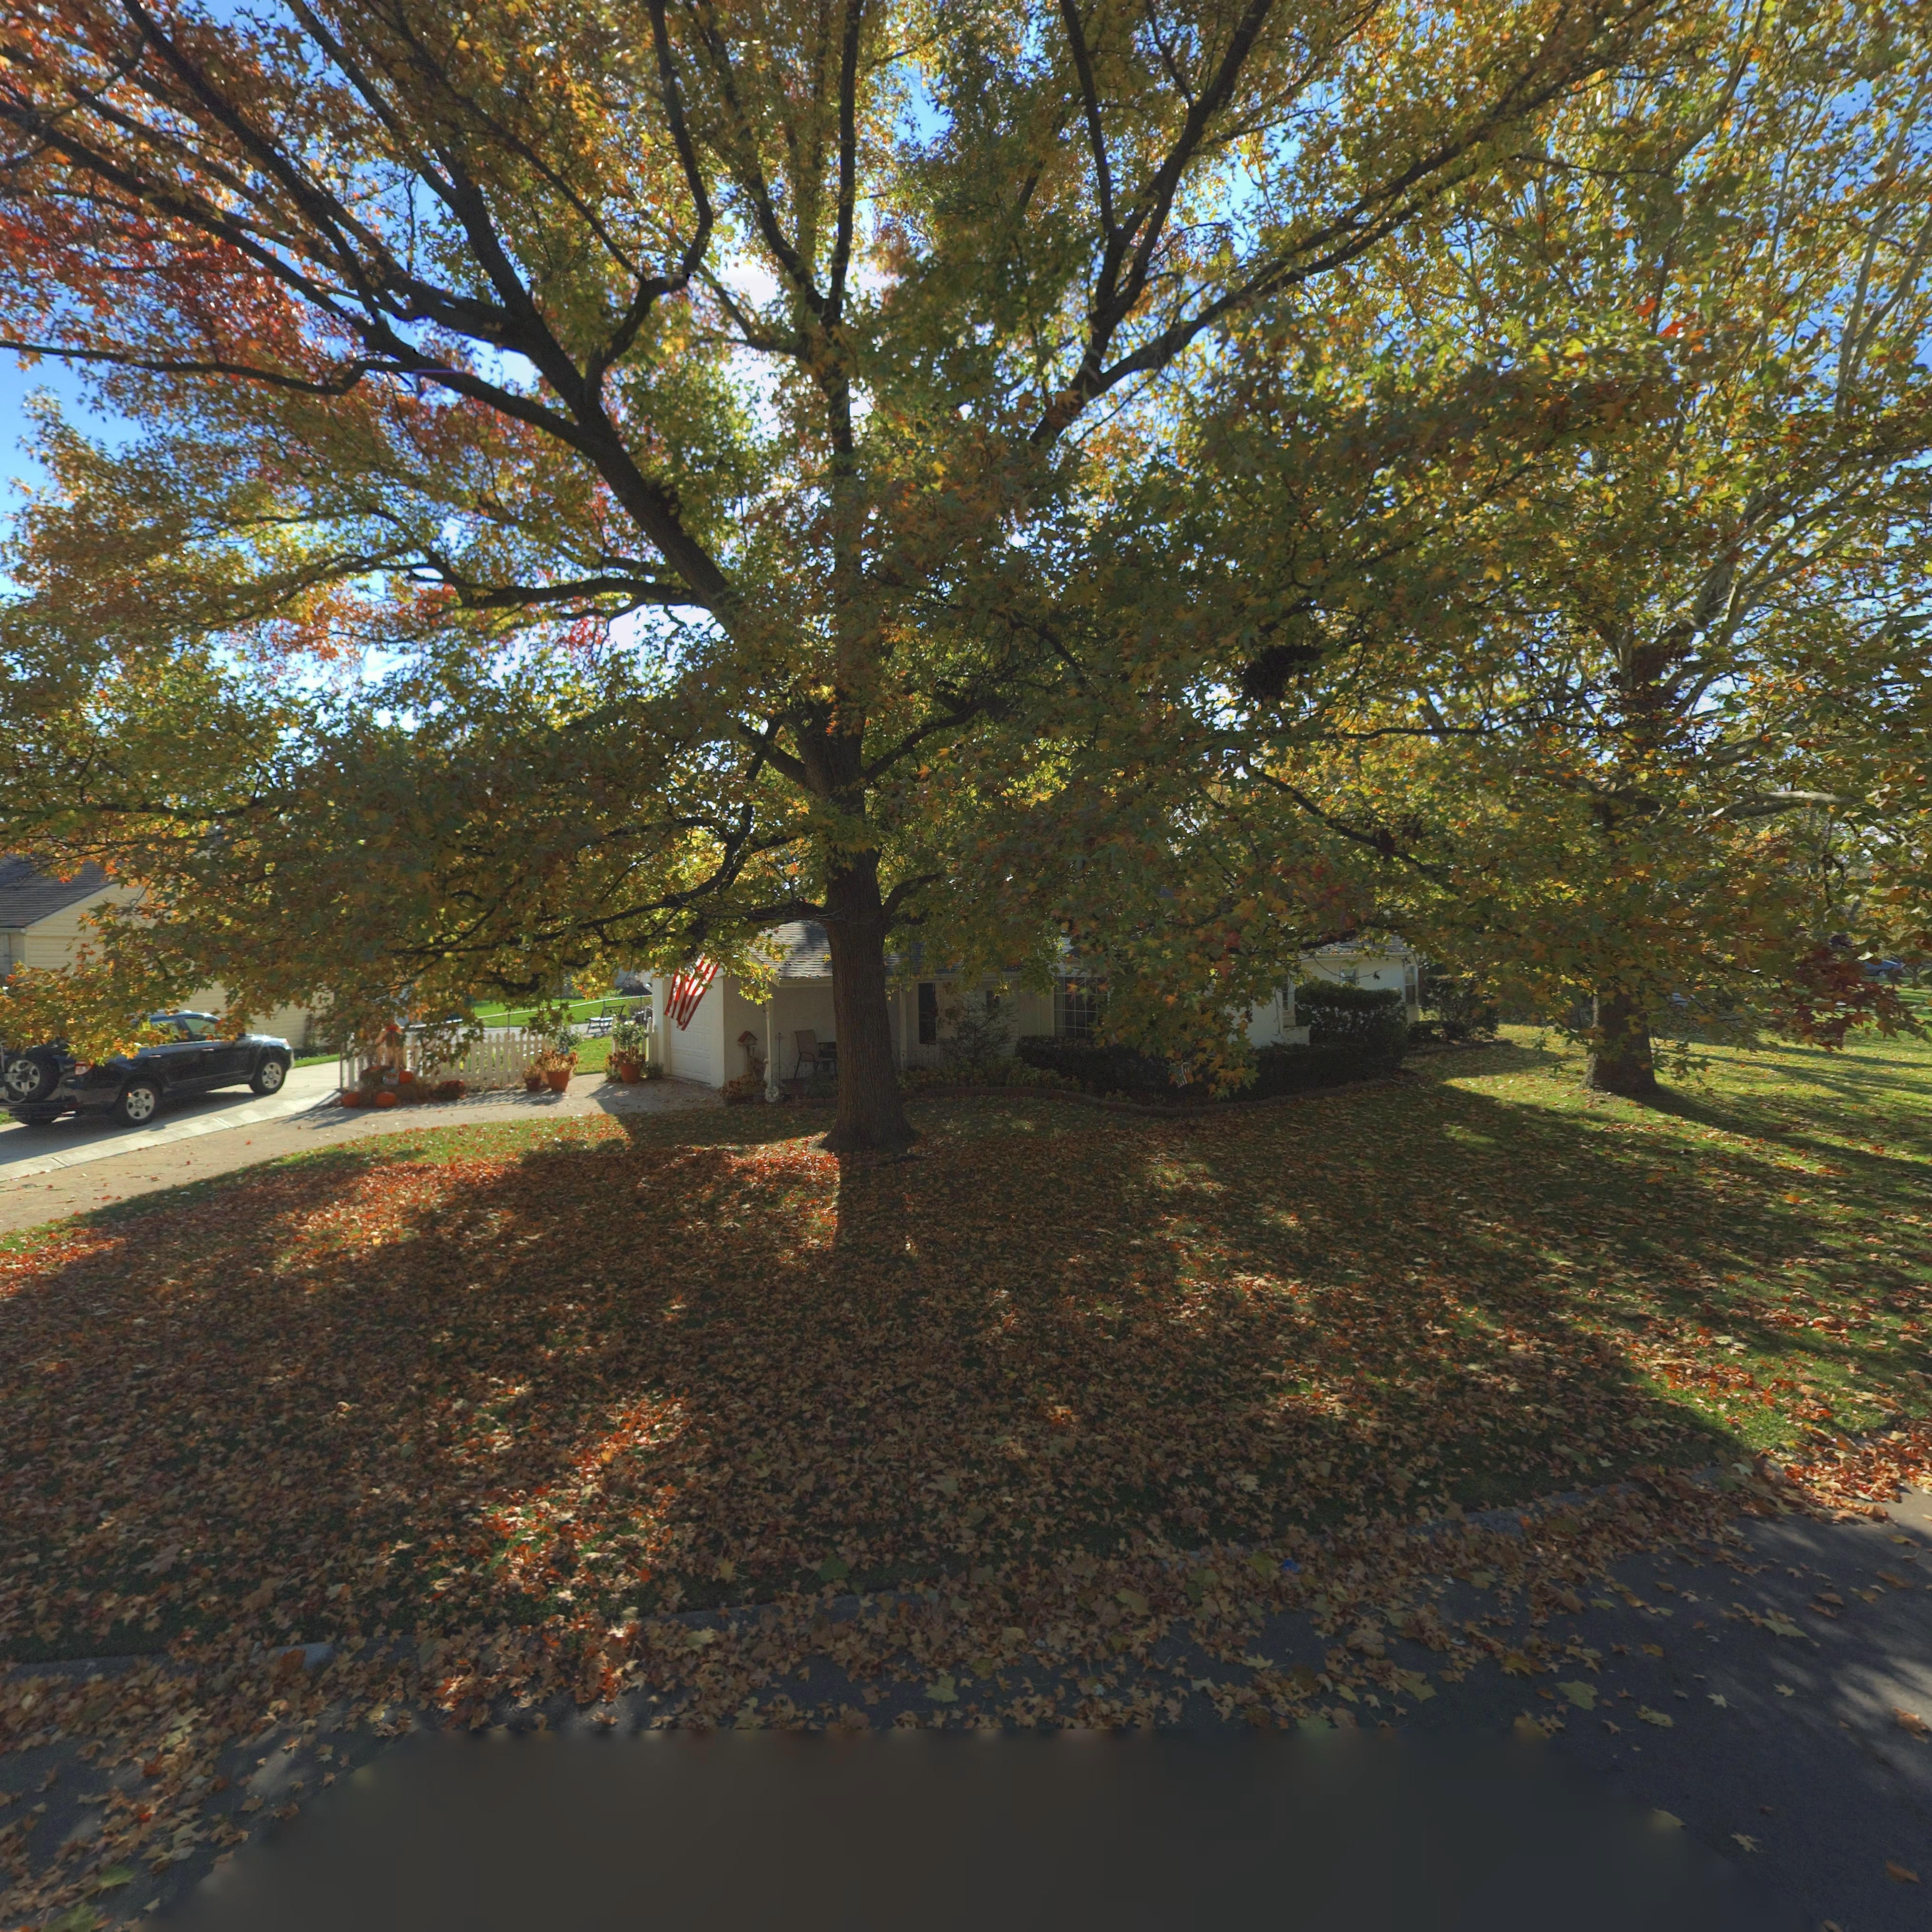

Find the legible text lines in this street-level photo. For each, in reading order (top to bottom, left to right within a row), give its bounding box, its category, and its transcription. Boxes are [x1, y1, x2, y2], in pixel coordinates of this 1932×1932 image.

[765, 1005, 770, 1020] StreetNumber: 01